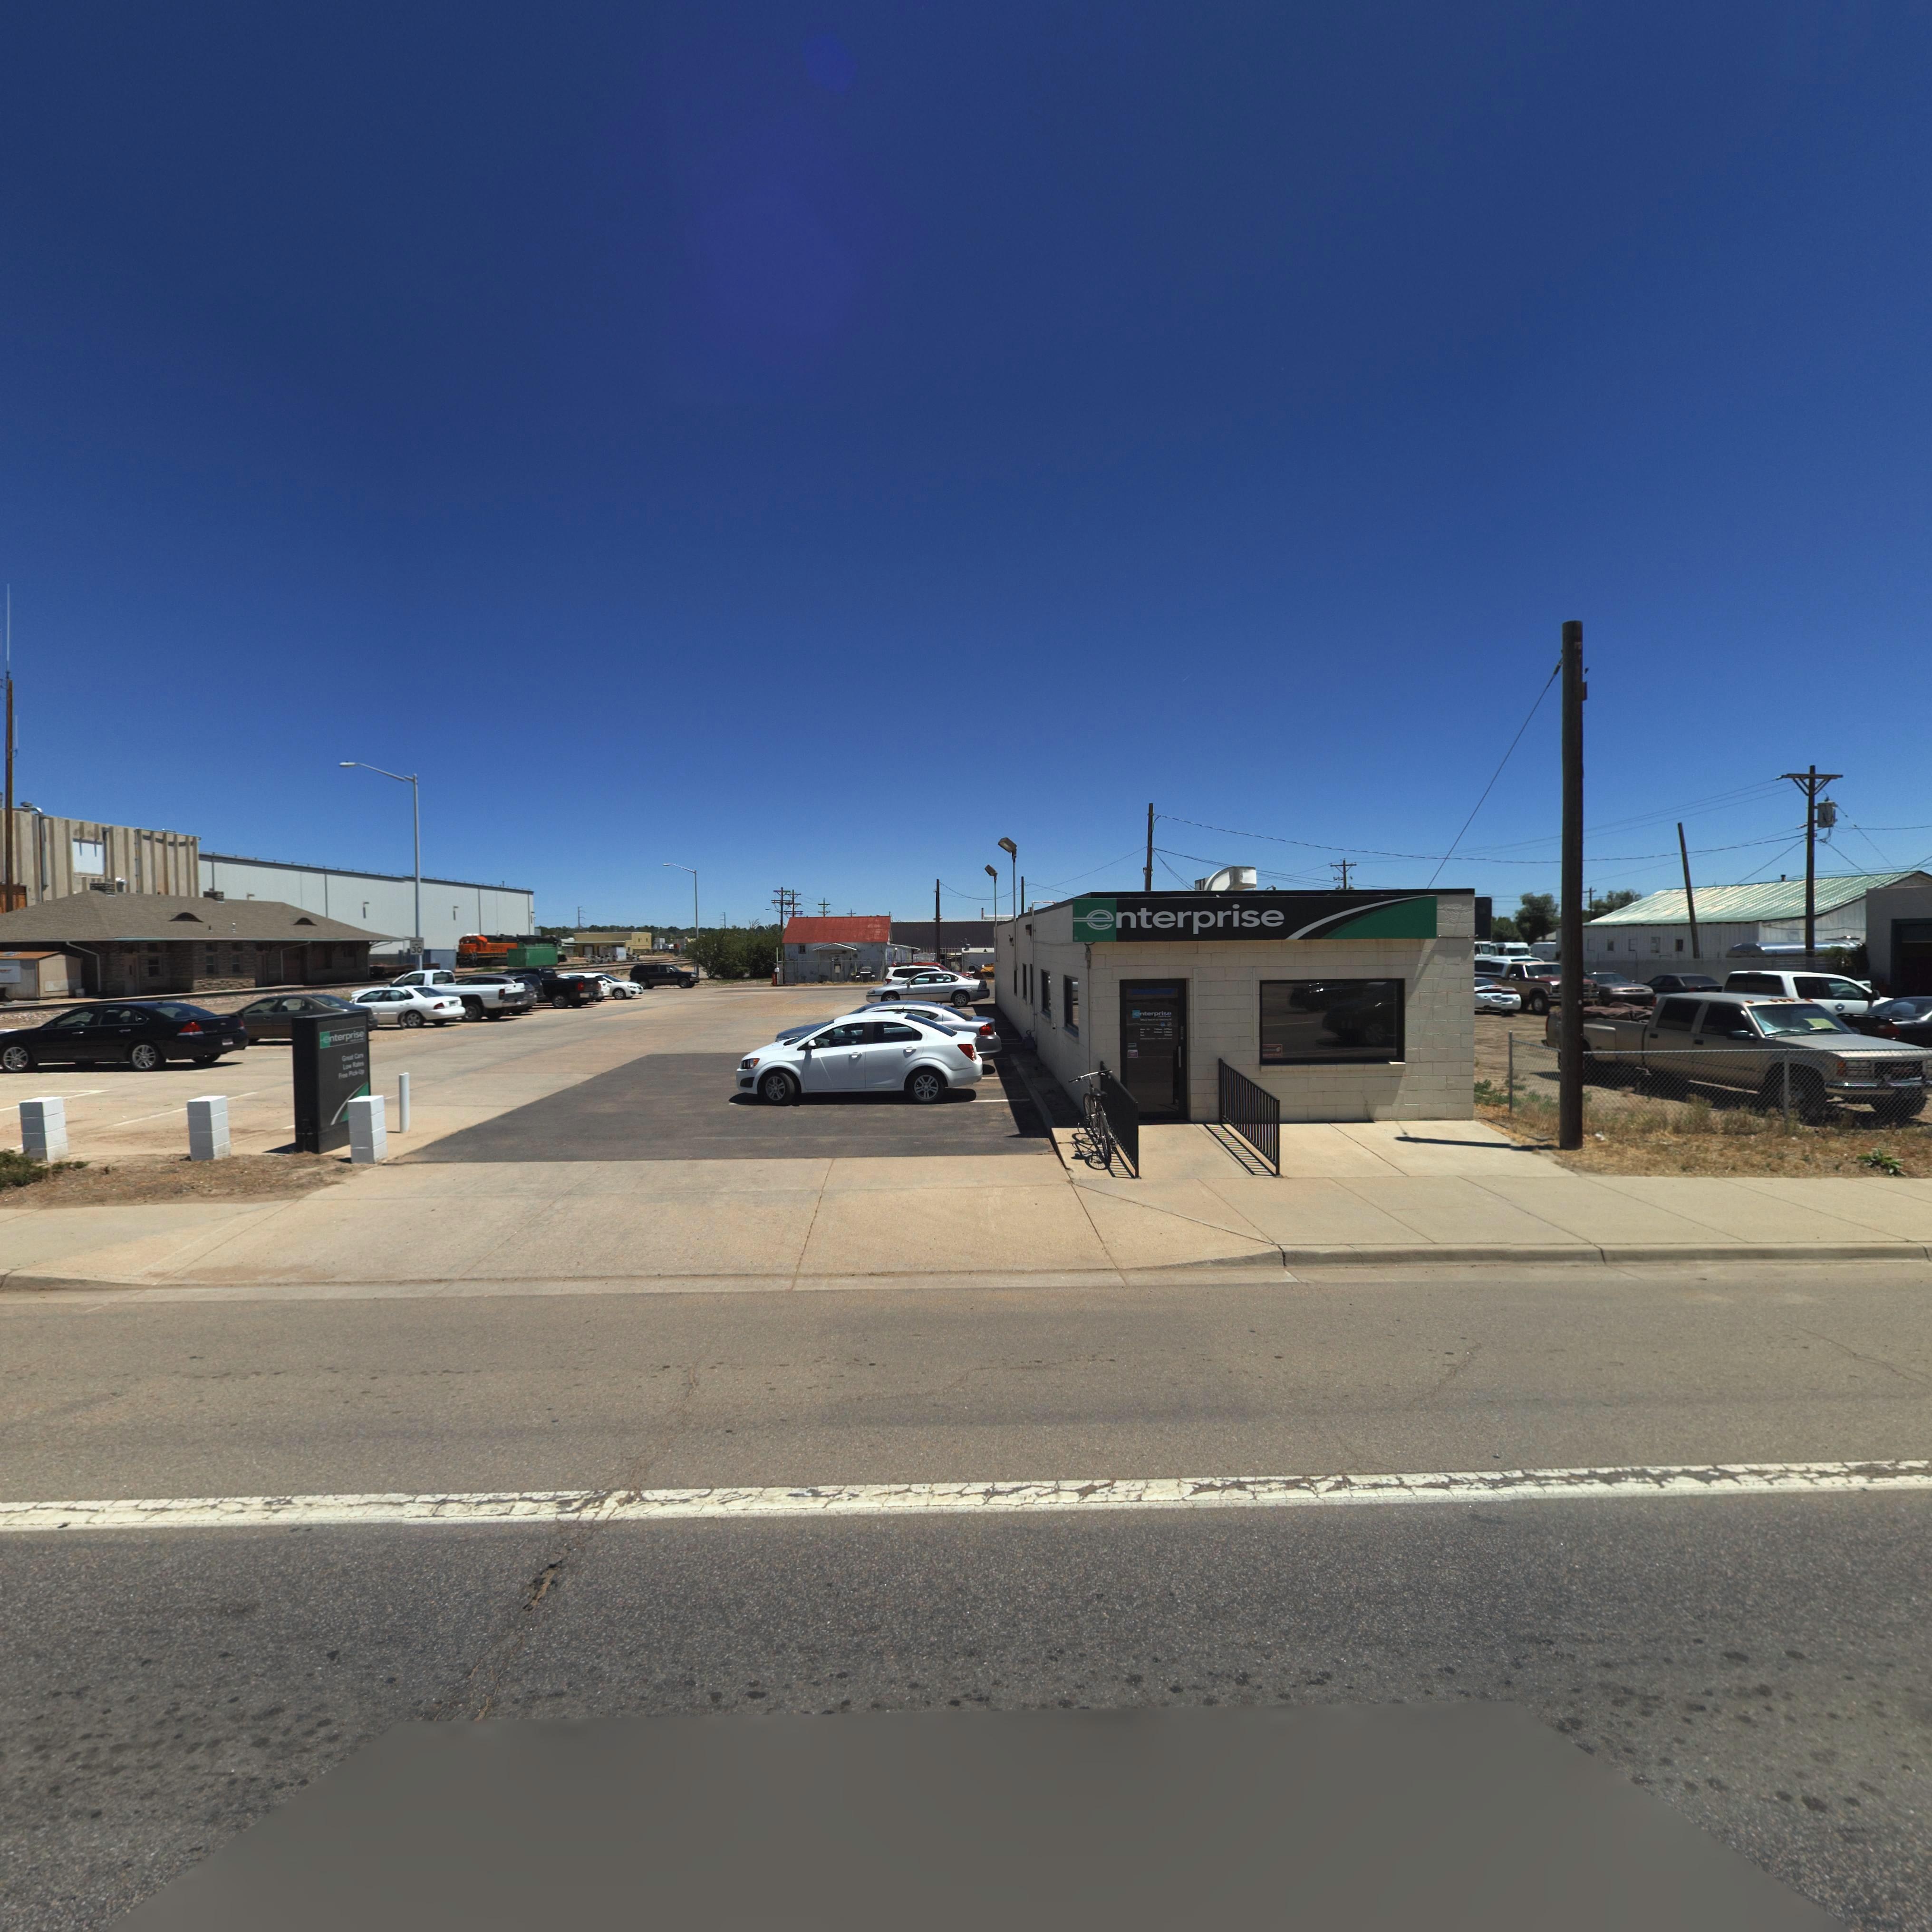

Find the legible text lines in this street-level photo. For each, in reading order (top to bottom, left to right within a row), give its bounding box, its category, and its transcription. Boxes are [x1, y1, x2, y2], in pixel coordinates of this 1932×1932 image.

[1085, 902, 1285, 936] BusinessName: enterprise
[412, 947, 422, 953] StreetNumber: 30
[1133, 1011, 1172, 1016] BusinessName: ent*rpris*
[323, 1030, 365, 1044] BusinessName: enterprise